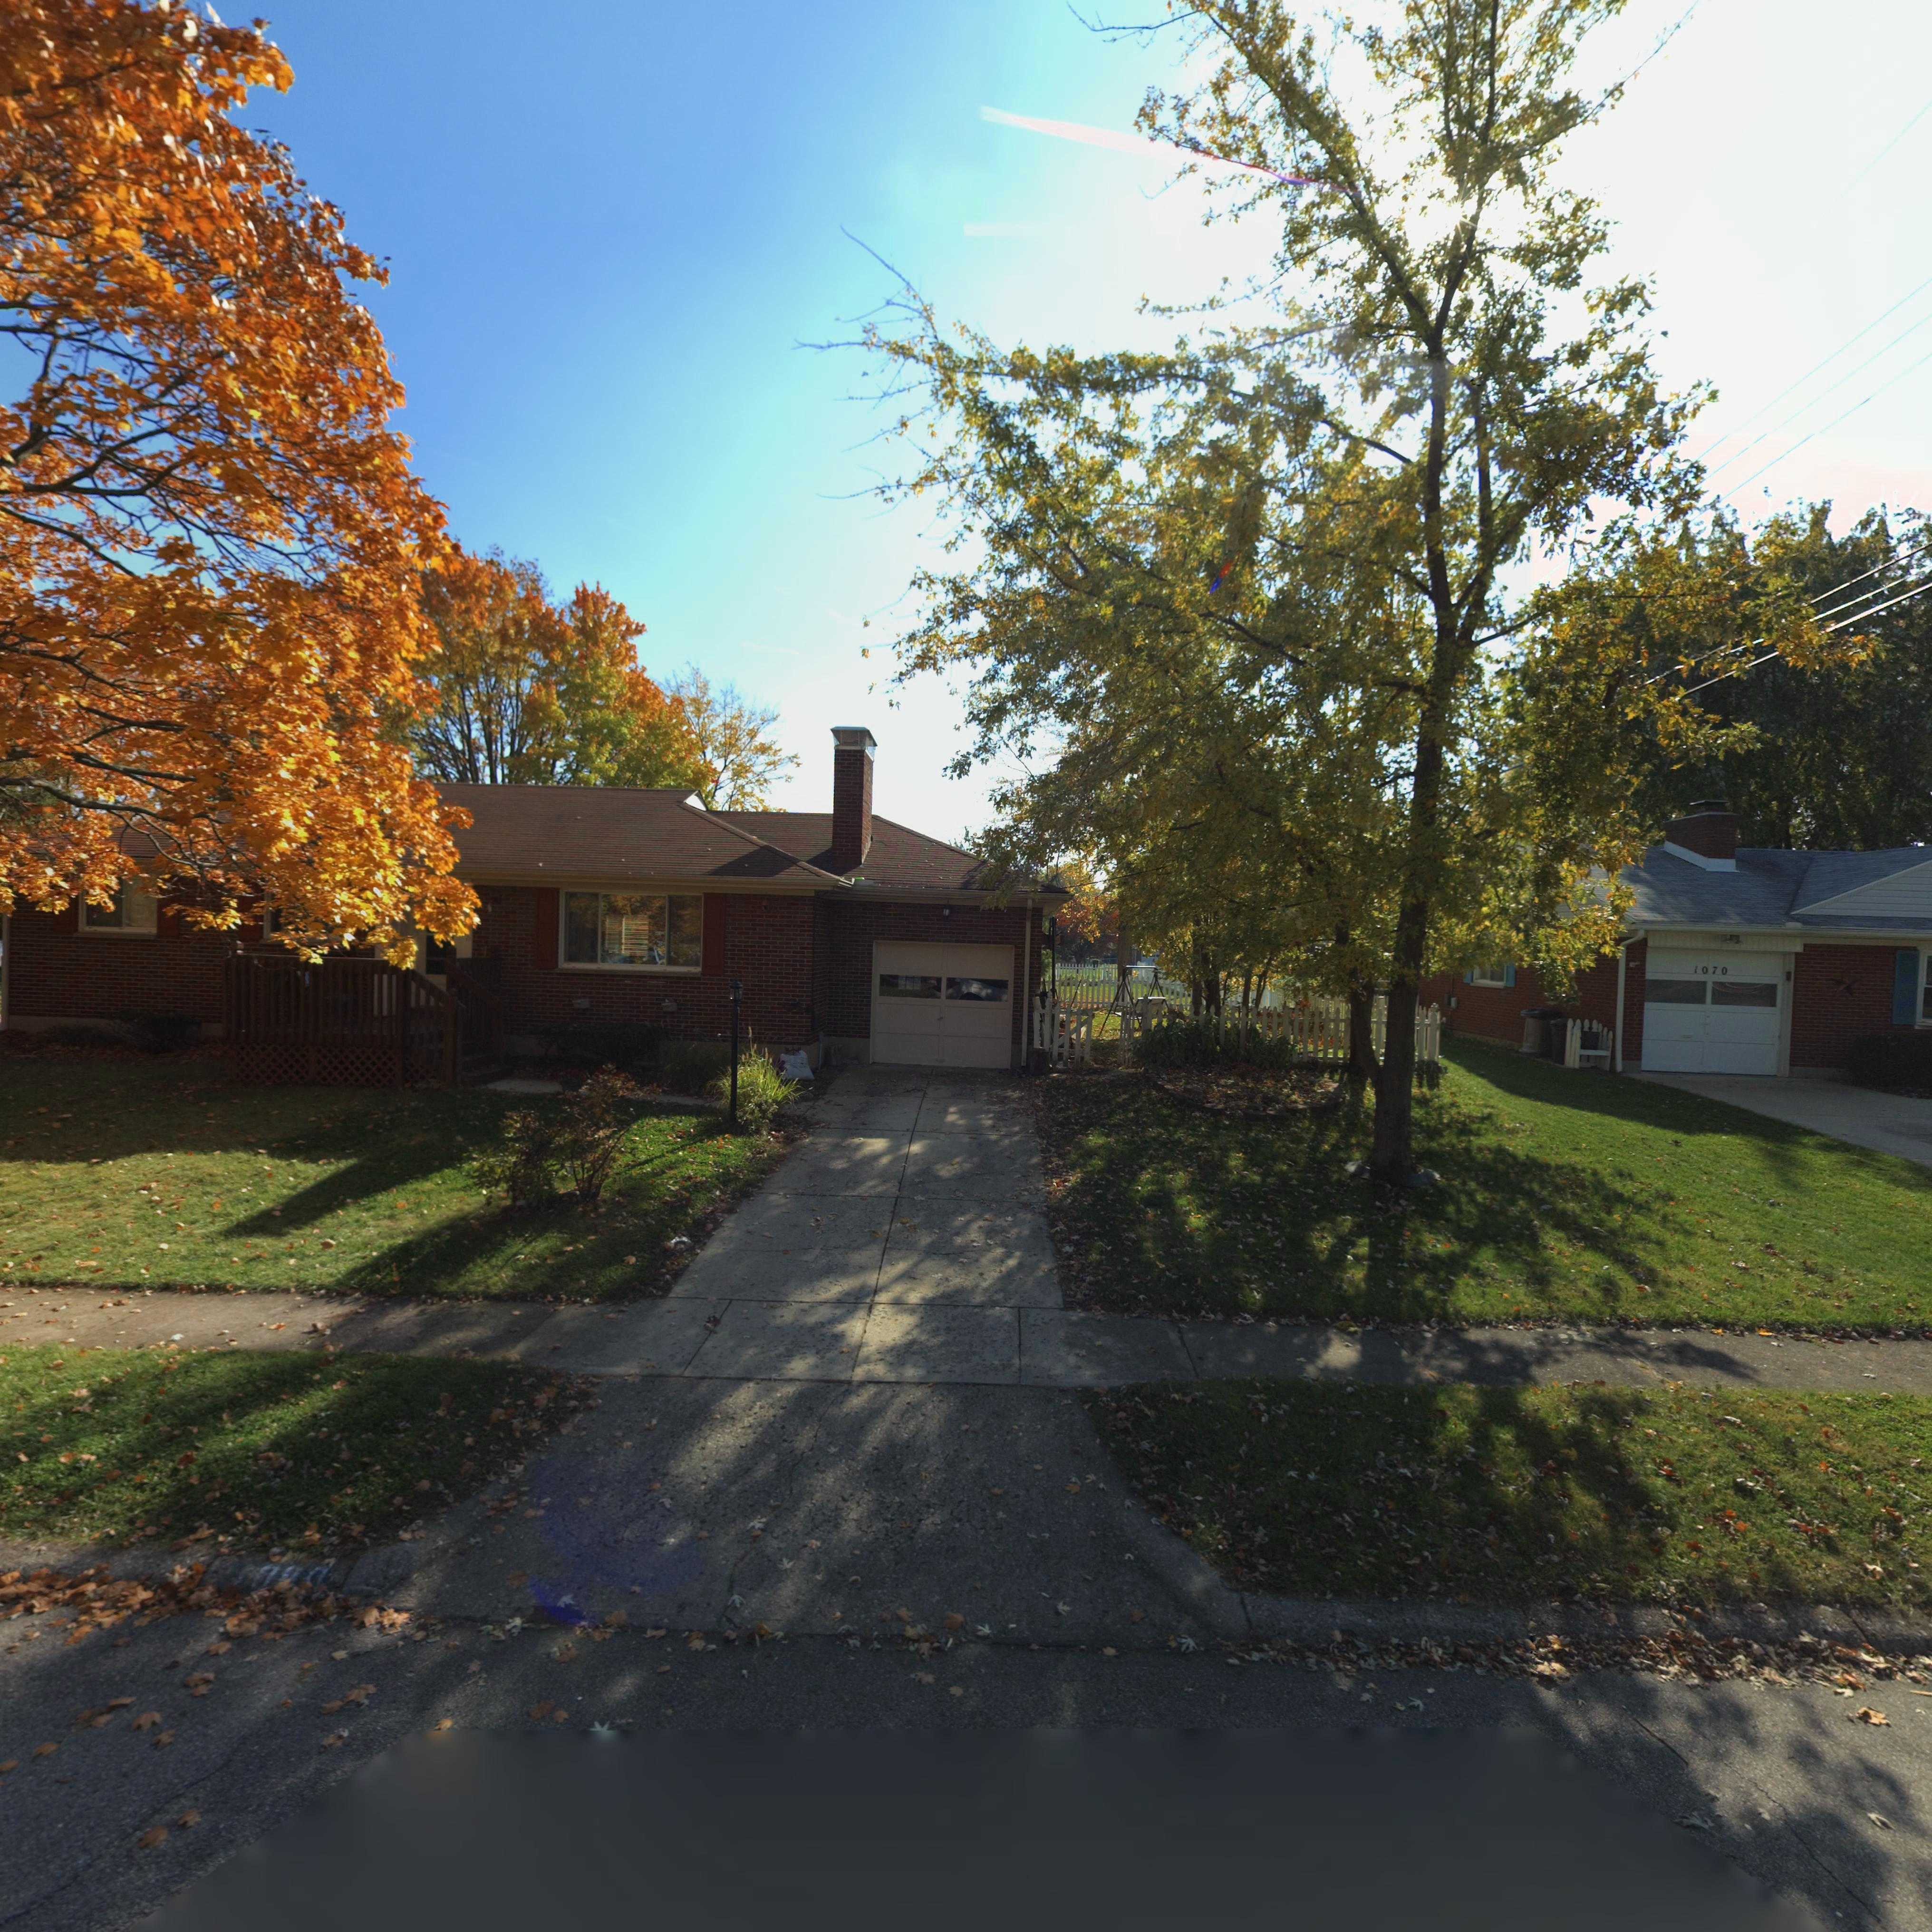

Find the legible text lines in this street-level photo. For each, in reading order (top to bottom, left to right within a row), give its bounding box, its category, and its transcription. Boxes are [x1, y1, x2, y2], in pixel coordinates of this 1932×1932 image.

[1693, 965, 1728, 976] StreetNumber: 1070